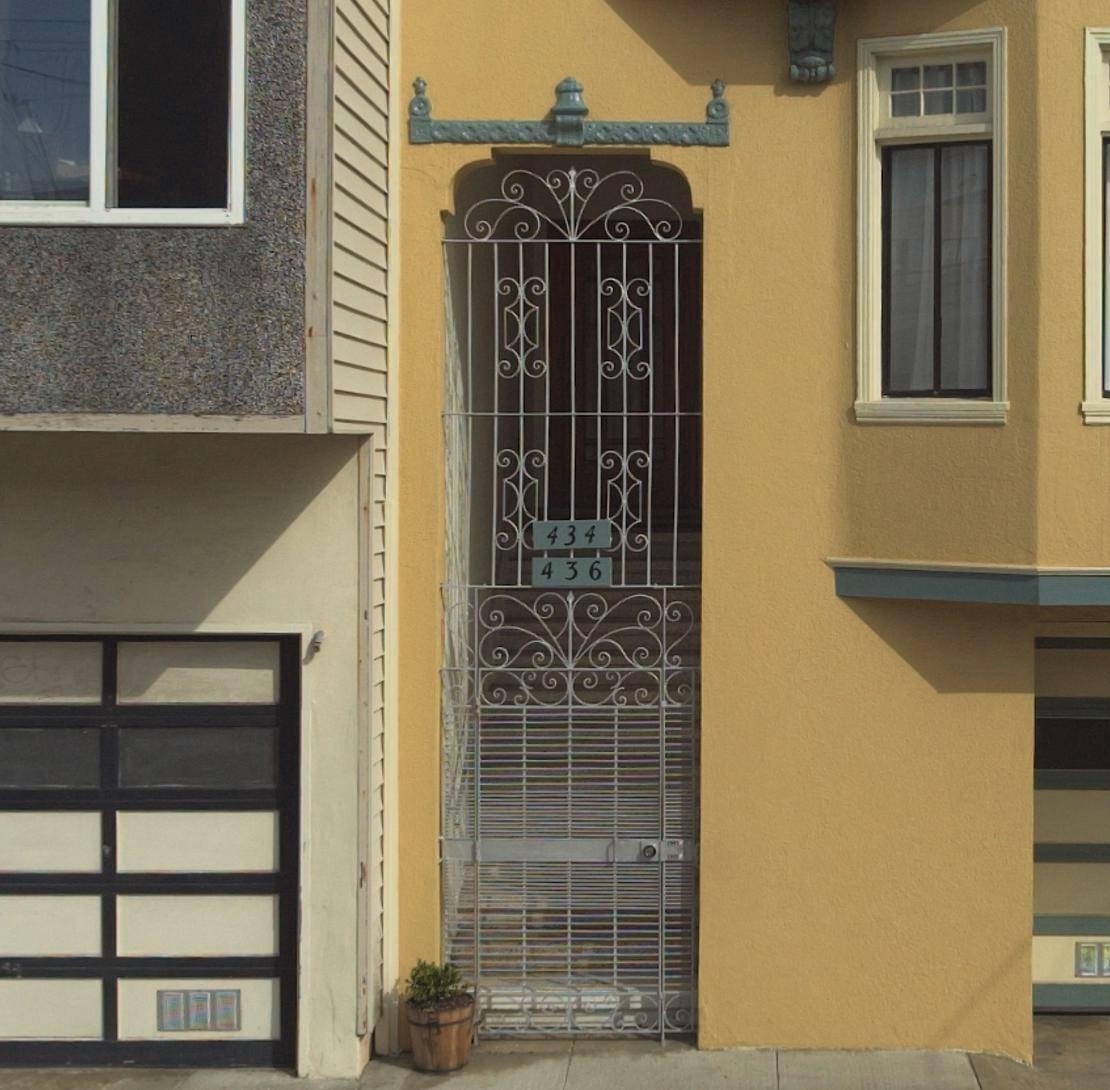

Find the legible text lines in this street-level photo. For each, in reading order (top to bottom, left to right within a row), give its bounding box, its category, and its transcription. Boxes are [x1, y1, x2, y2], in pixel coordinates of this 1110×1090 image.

[544, 524, 597, 547] StreetNumber: 434
[539, 558, 605, 582] StreetNumber: 436